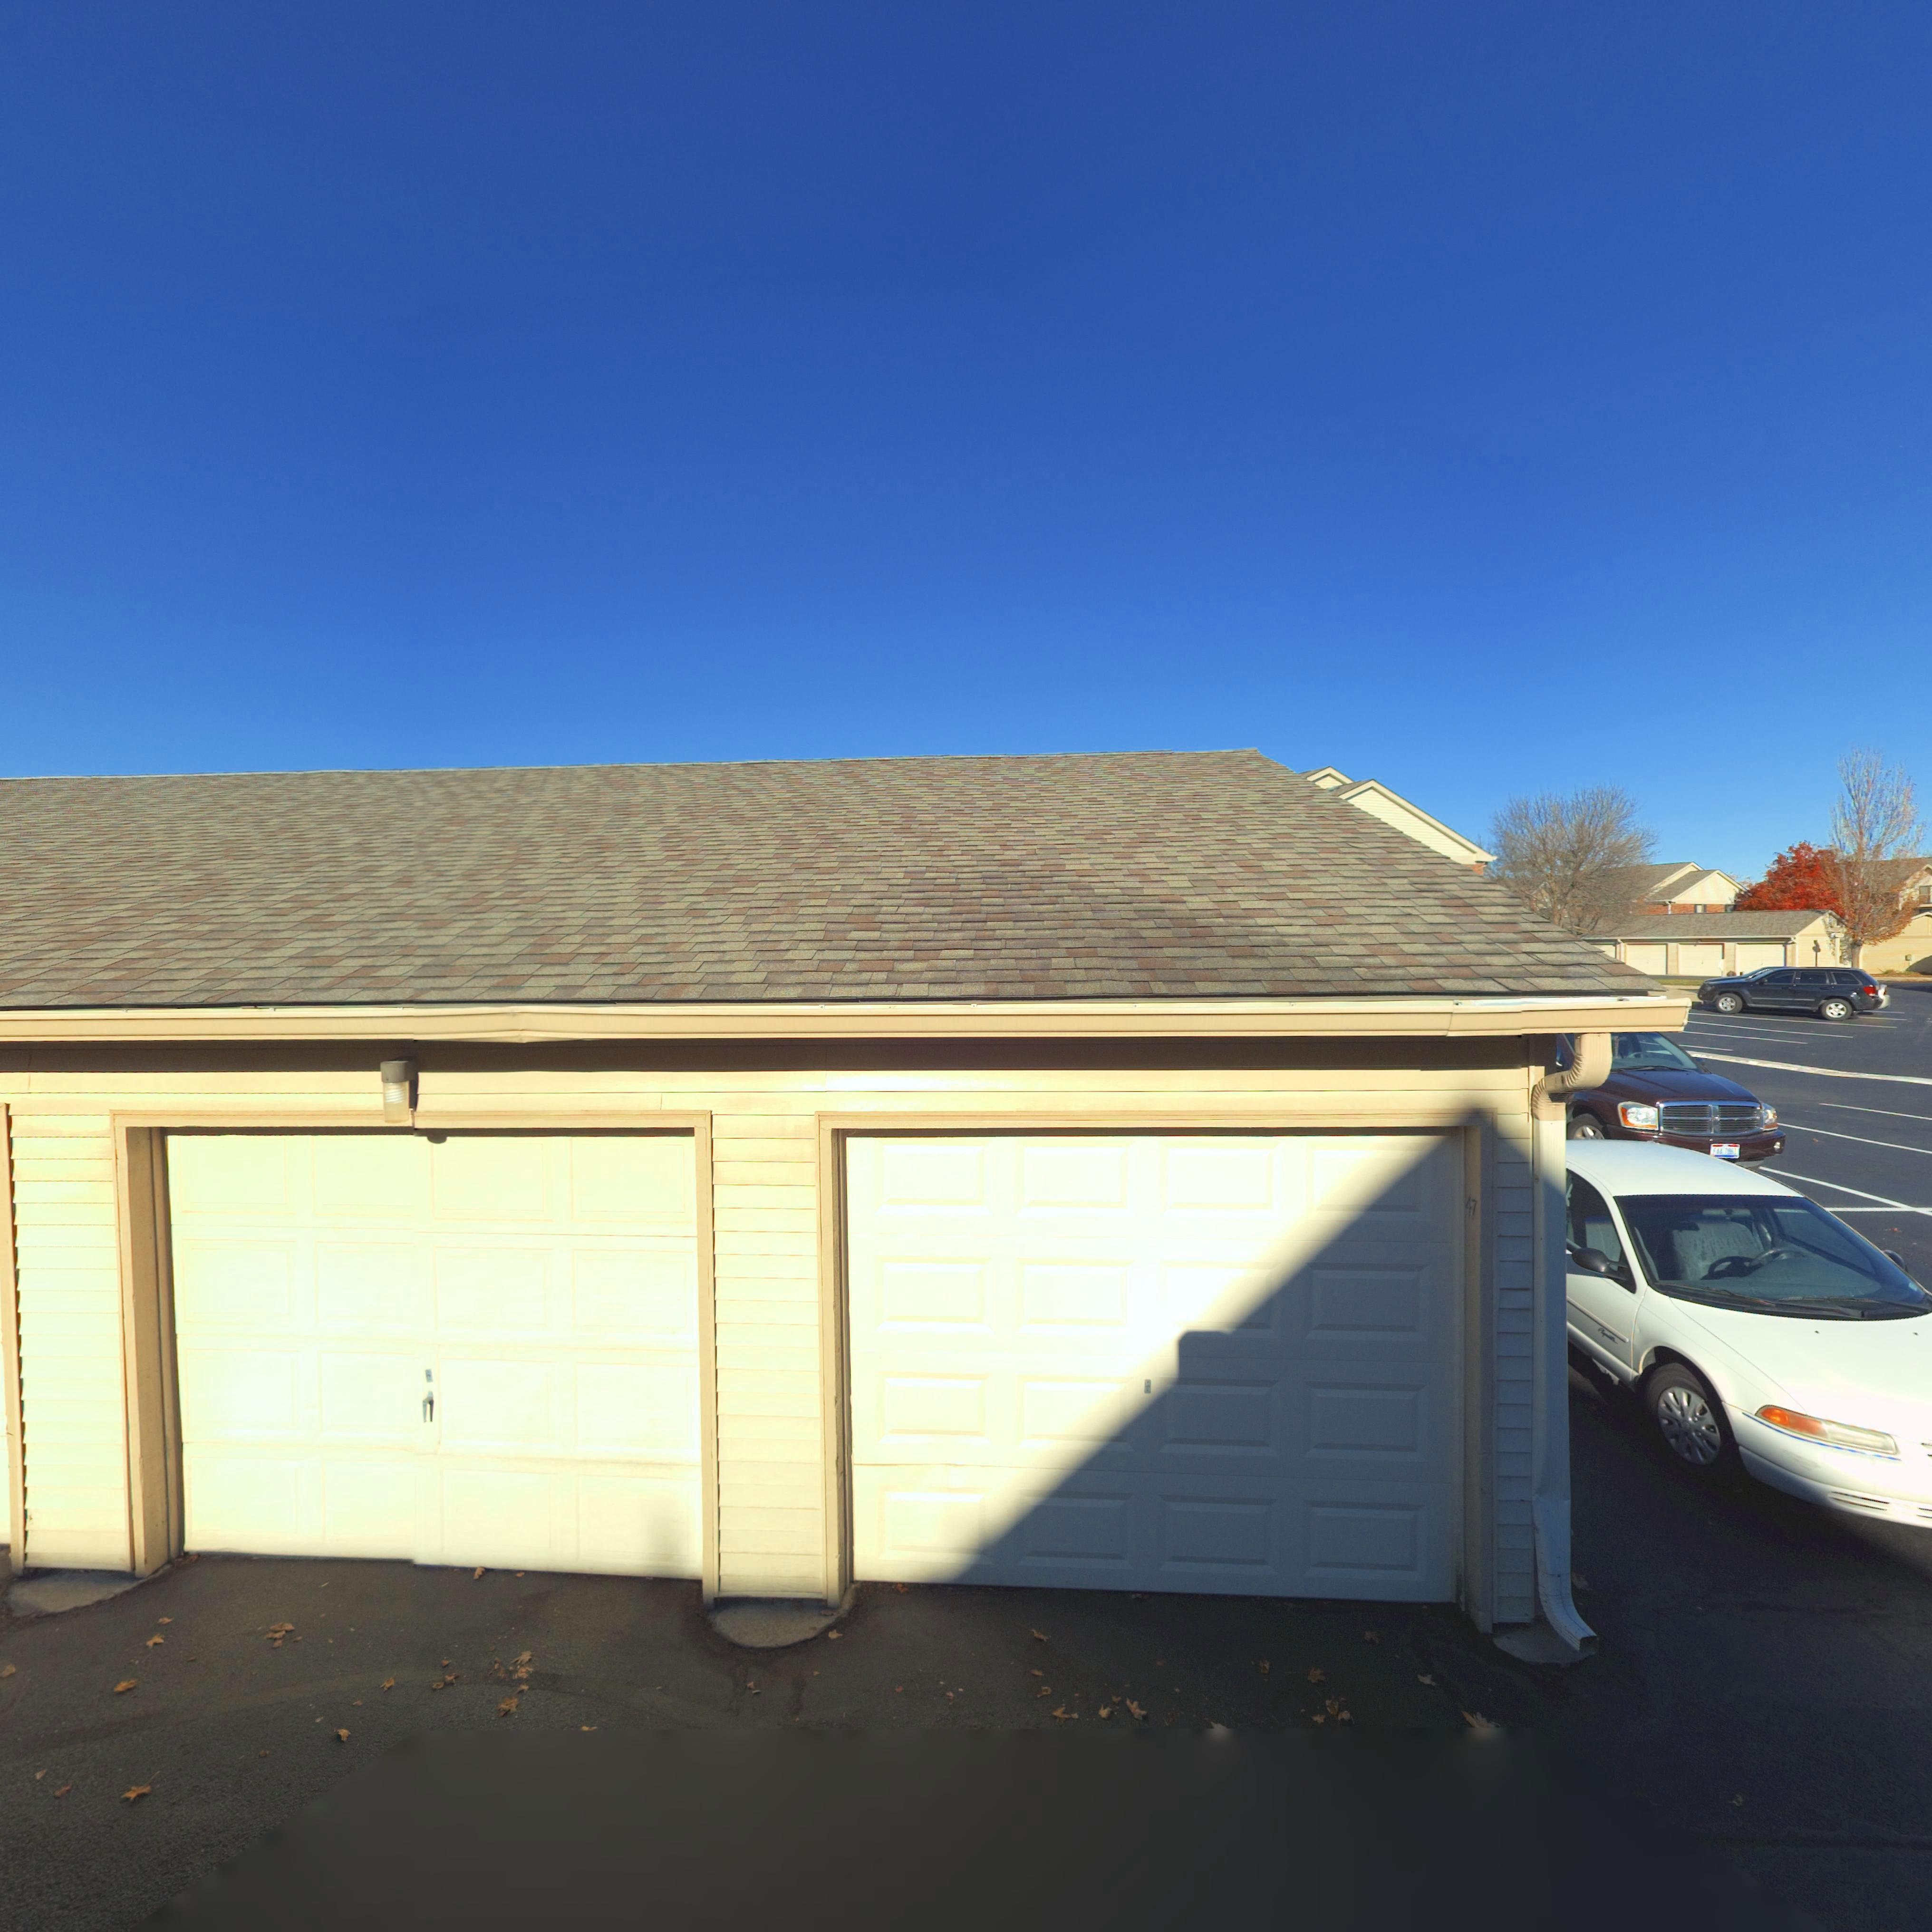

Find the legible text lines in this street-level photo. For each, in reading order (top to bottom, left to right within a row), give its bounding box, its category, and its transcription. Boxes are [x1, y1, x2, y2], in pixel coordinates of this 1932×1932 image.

[1464, 1195, 1478, 1217] StreetNumber: 47